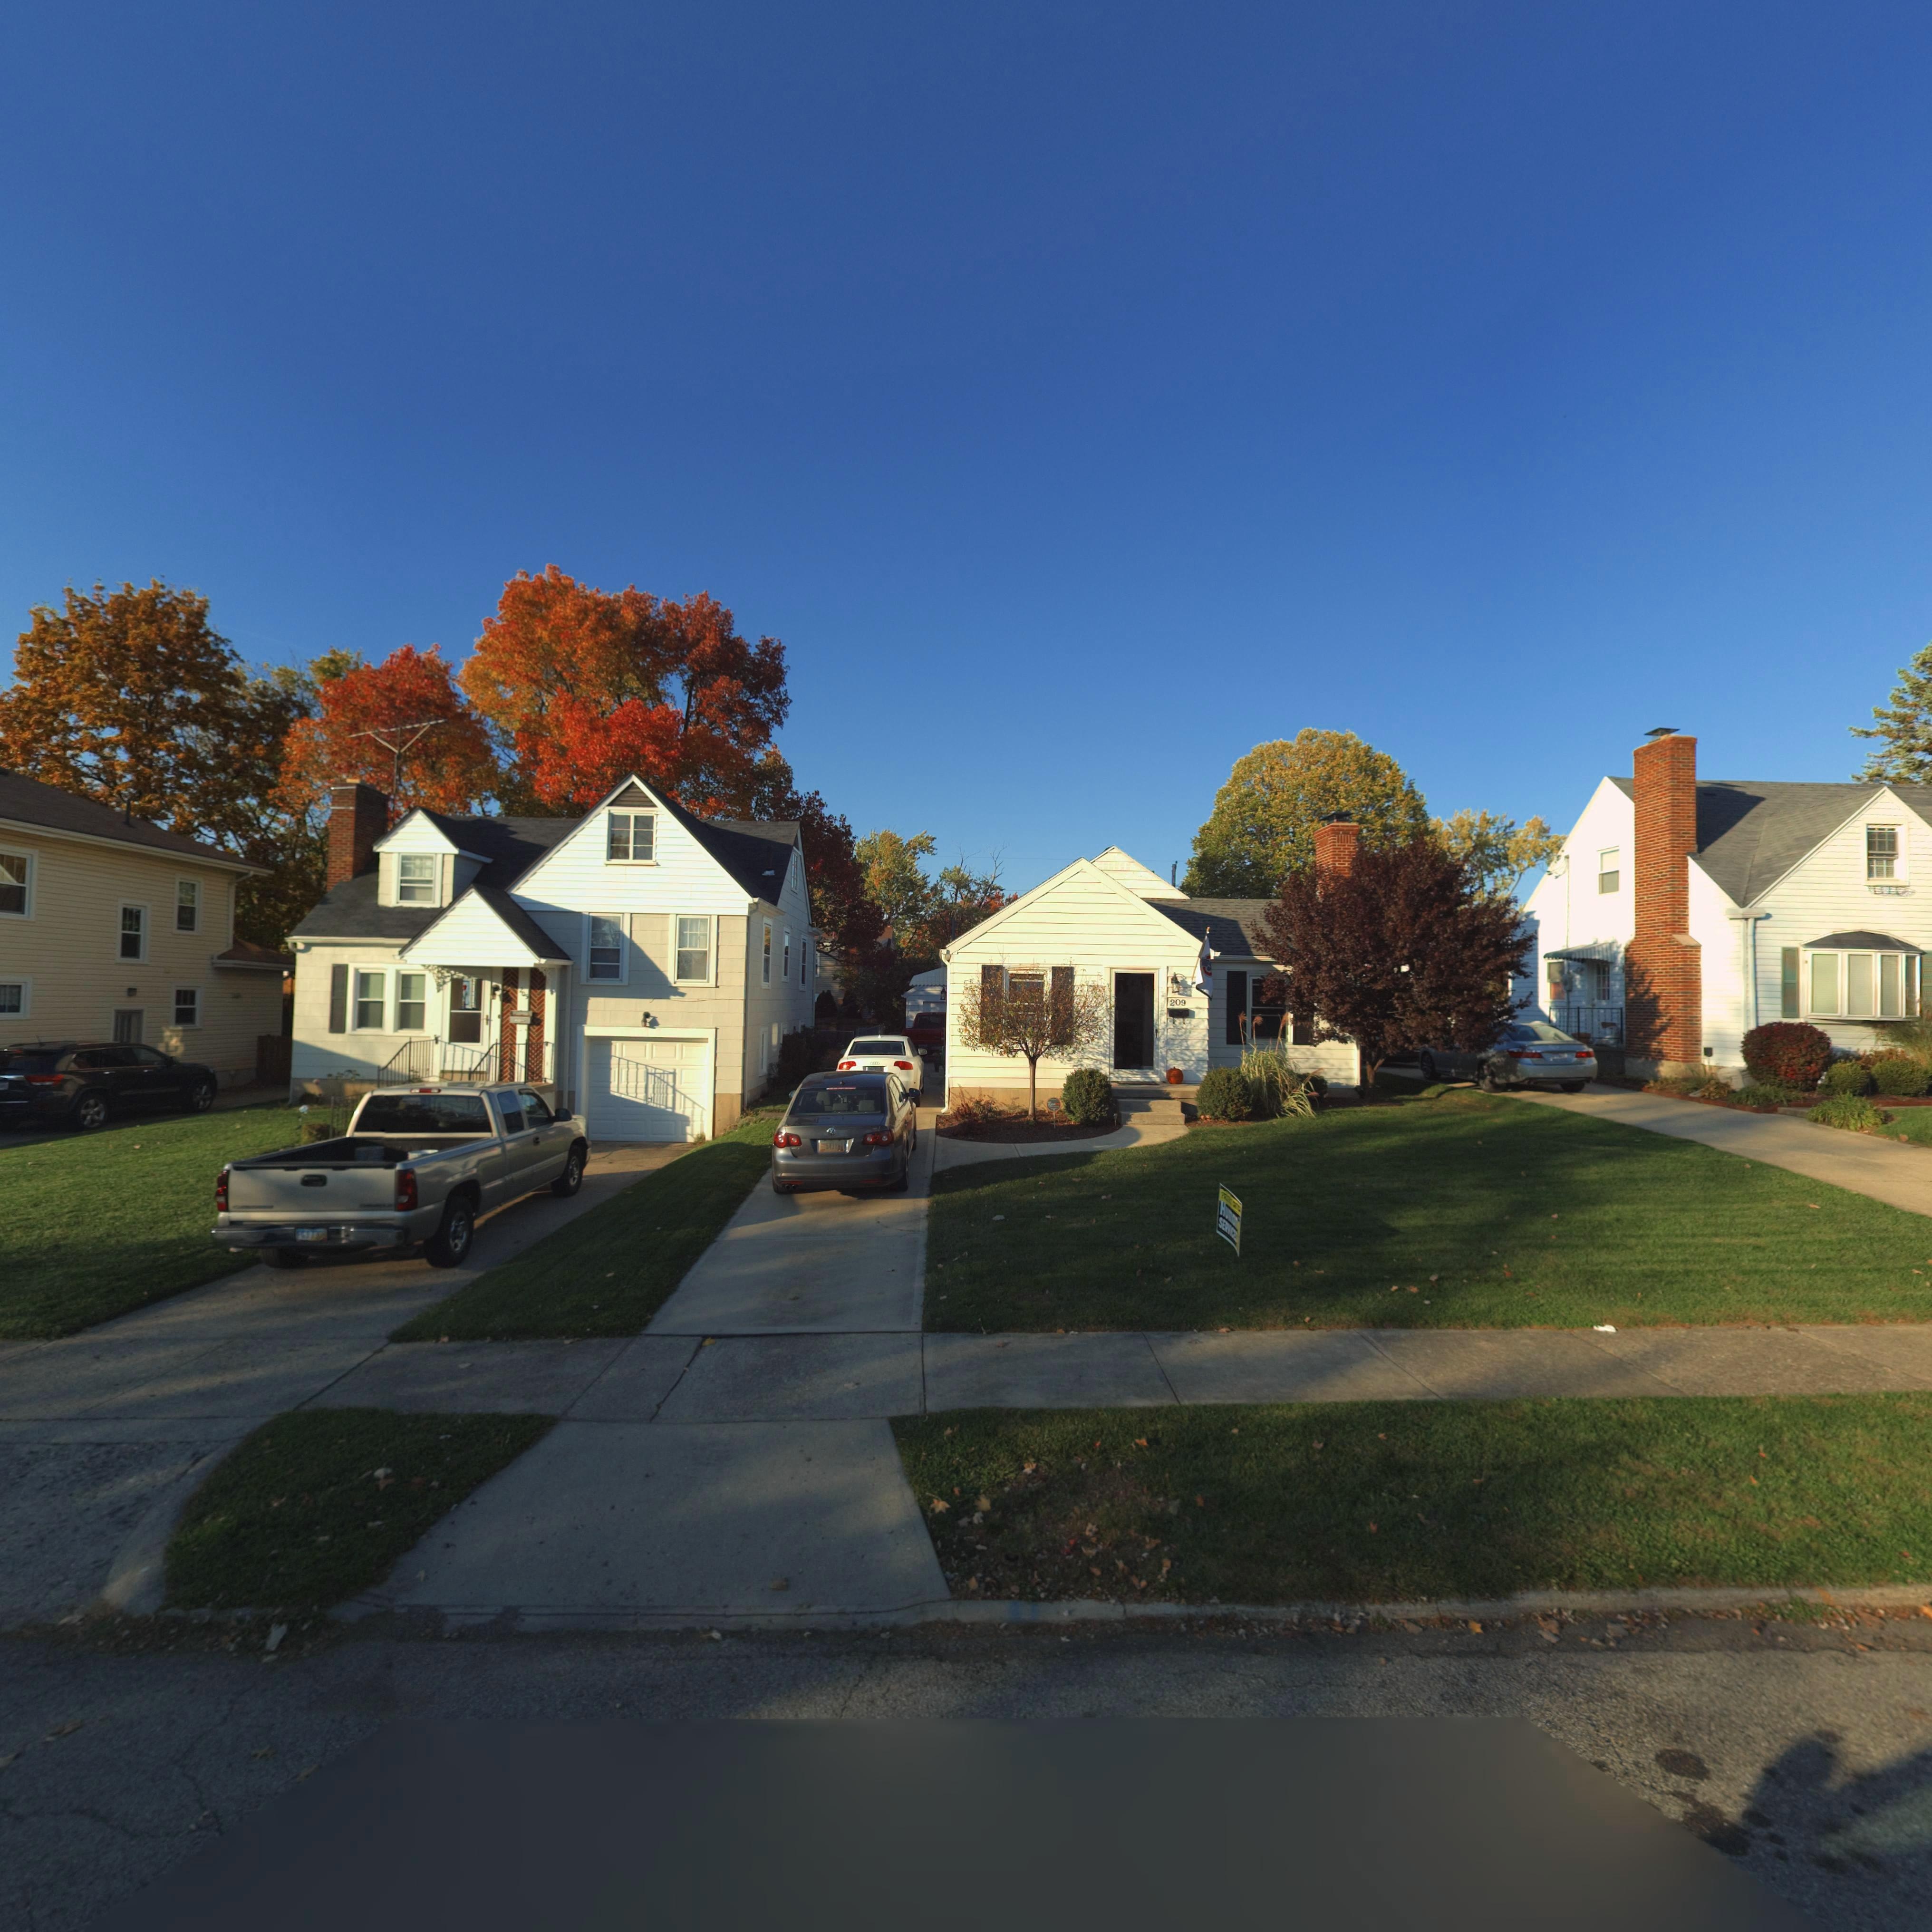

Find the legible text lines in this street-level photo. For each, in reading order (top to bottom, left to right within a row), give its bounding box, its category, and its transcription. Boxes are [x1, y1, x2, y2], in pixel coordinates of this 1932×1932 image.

[519, 986, 529, 1000] StreetNumber: 205
[1169, 998, 1186, 1006] StreetNumber: 209